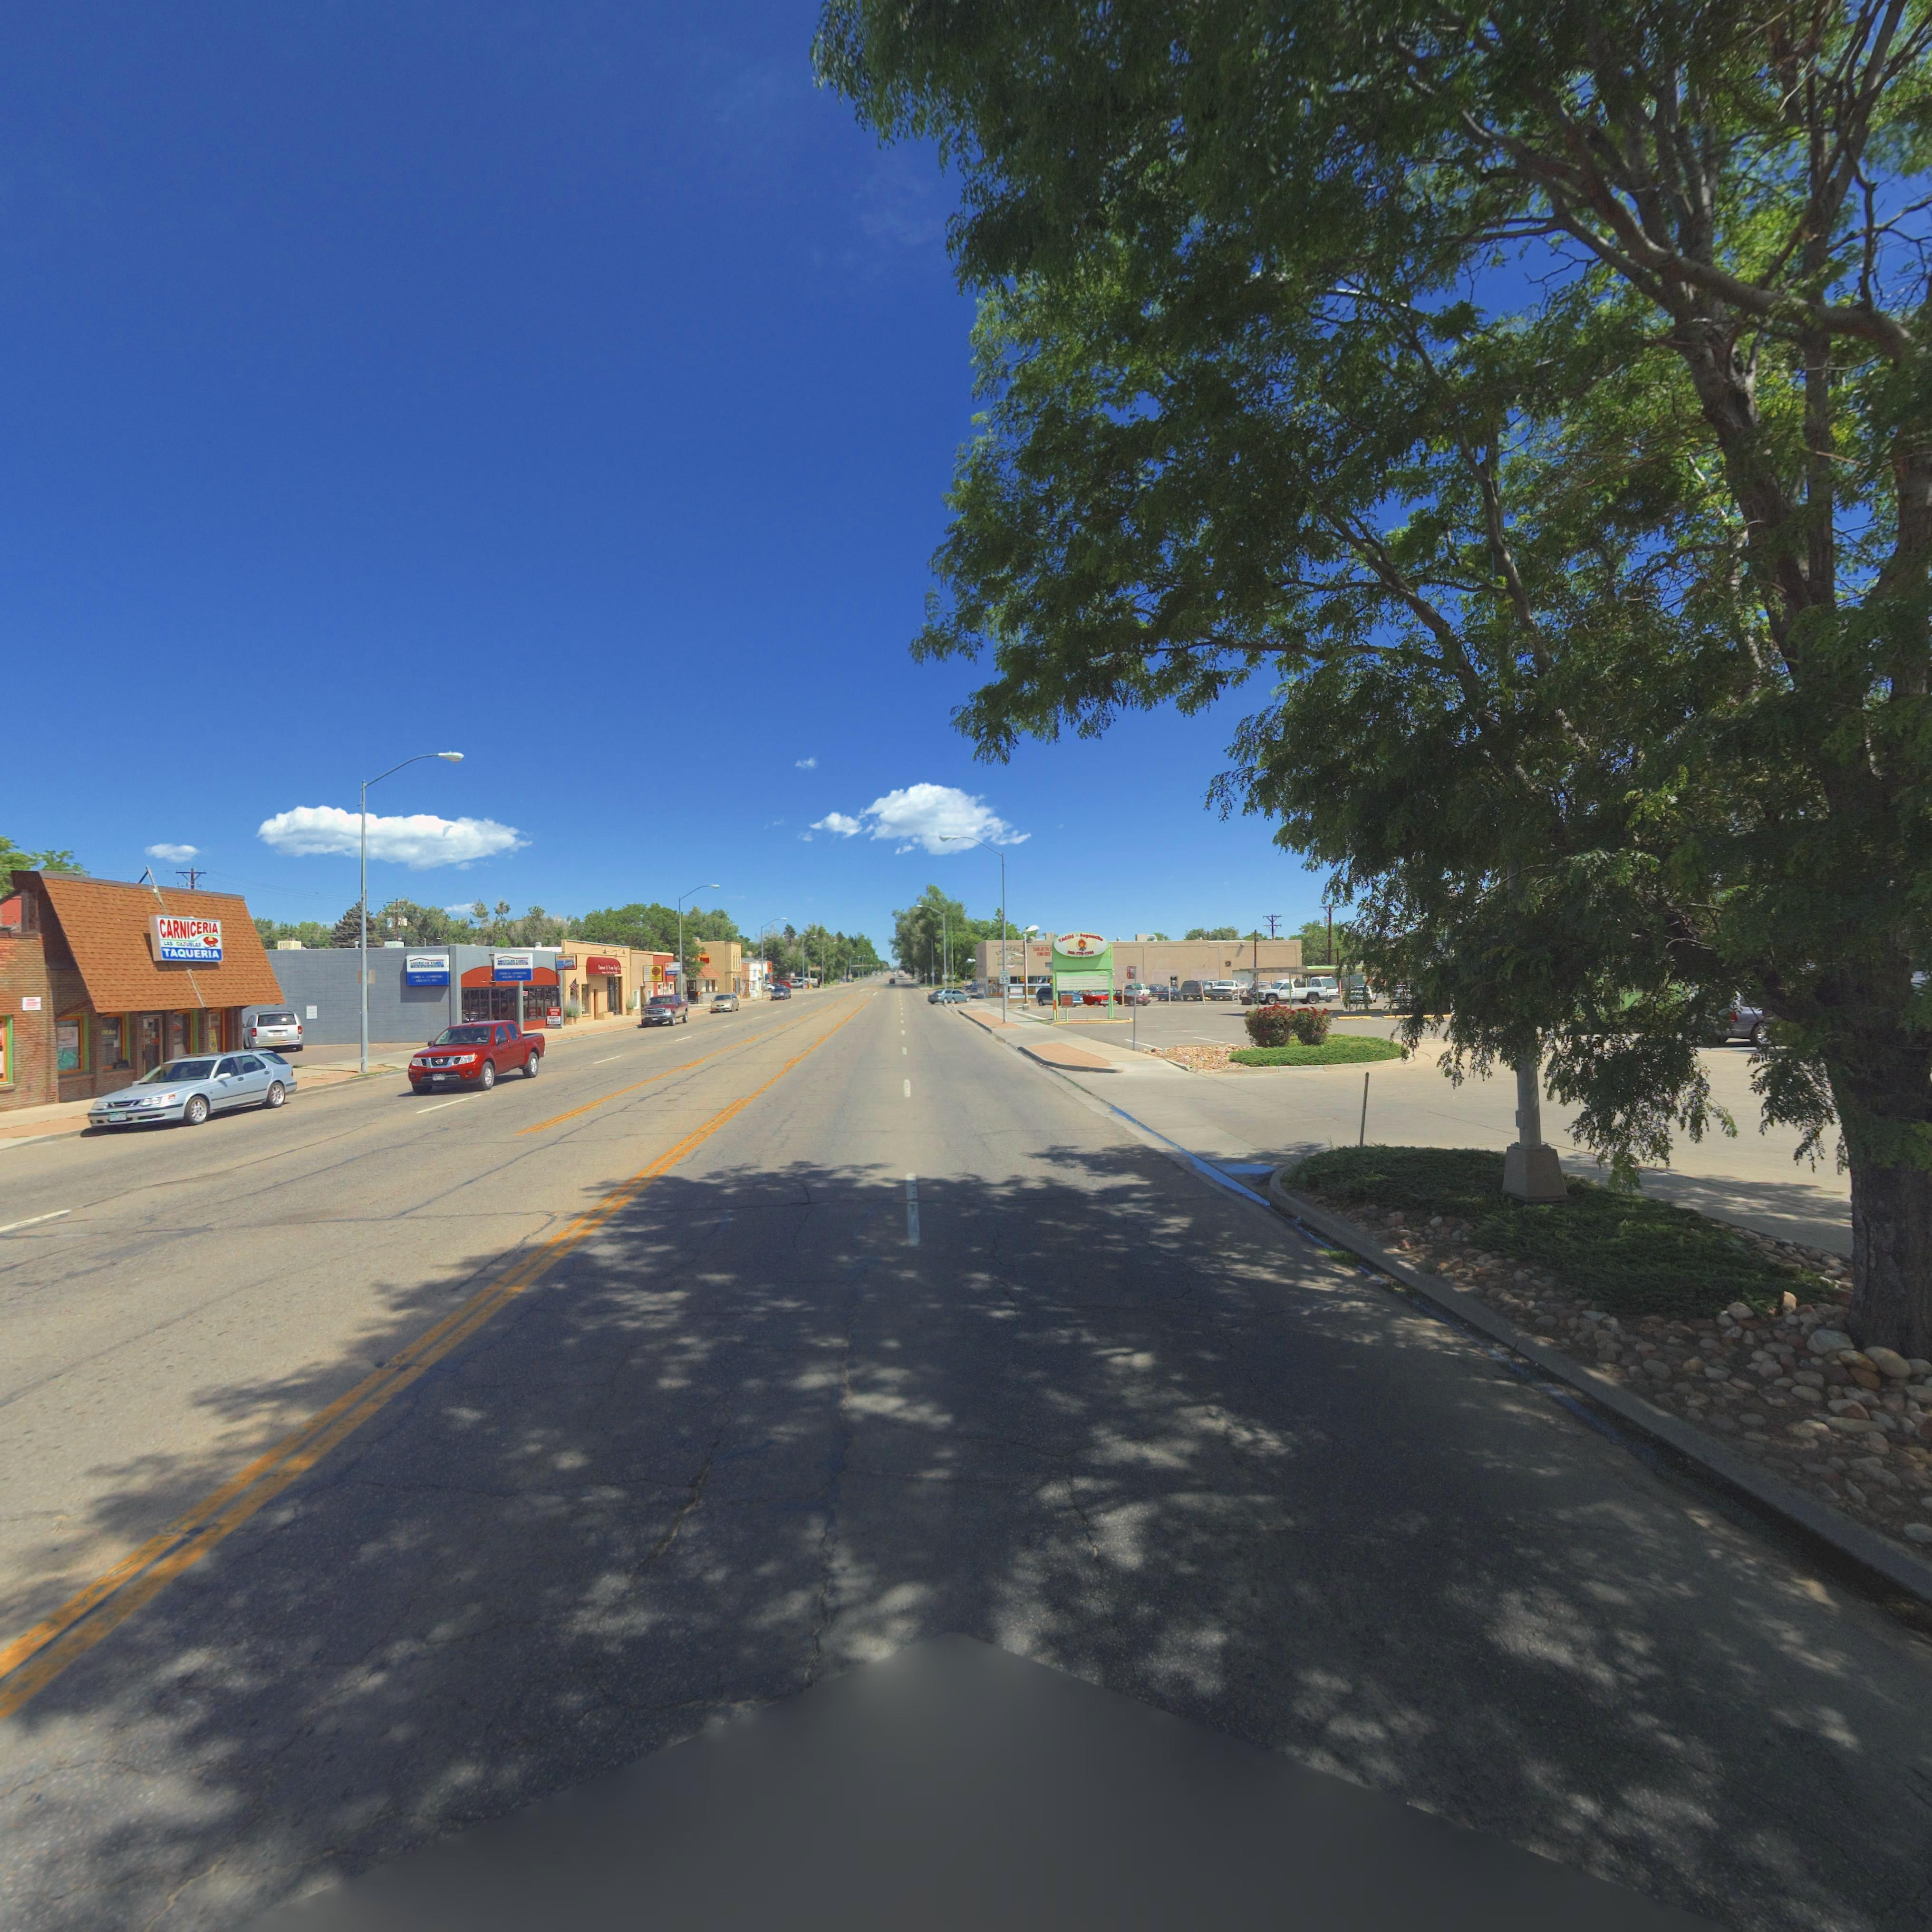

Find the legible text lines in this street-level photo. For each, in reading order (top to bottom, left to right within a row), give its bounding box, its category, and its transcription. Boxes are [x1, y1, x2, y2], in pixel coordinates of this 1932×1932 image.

[159, 918, 219, 939] BusinessName: CARNICERIA
[1057, 933, 1103, 943] BusinessName: TACOS Fofo*cko
[164, 941, 201, 947] BusinessName: LAS CA****AS
[161, 947, 220, 958] BusinessName: TAQUERIA
[409, 961, 444, 965] BusinessName: A****CAN FA***Y
[413, 965, 441, 967] BusinessName: INSURANCE
[497, 959, 527, 962] BusinessName: *****CAN FAM***
[499, 963, 526, 965] BusinessName: I*******